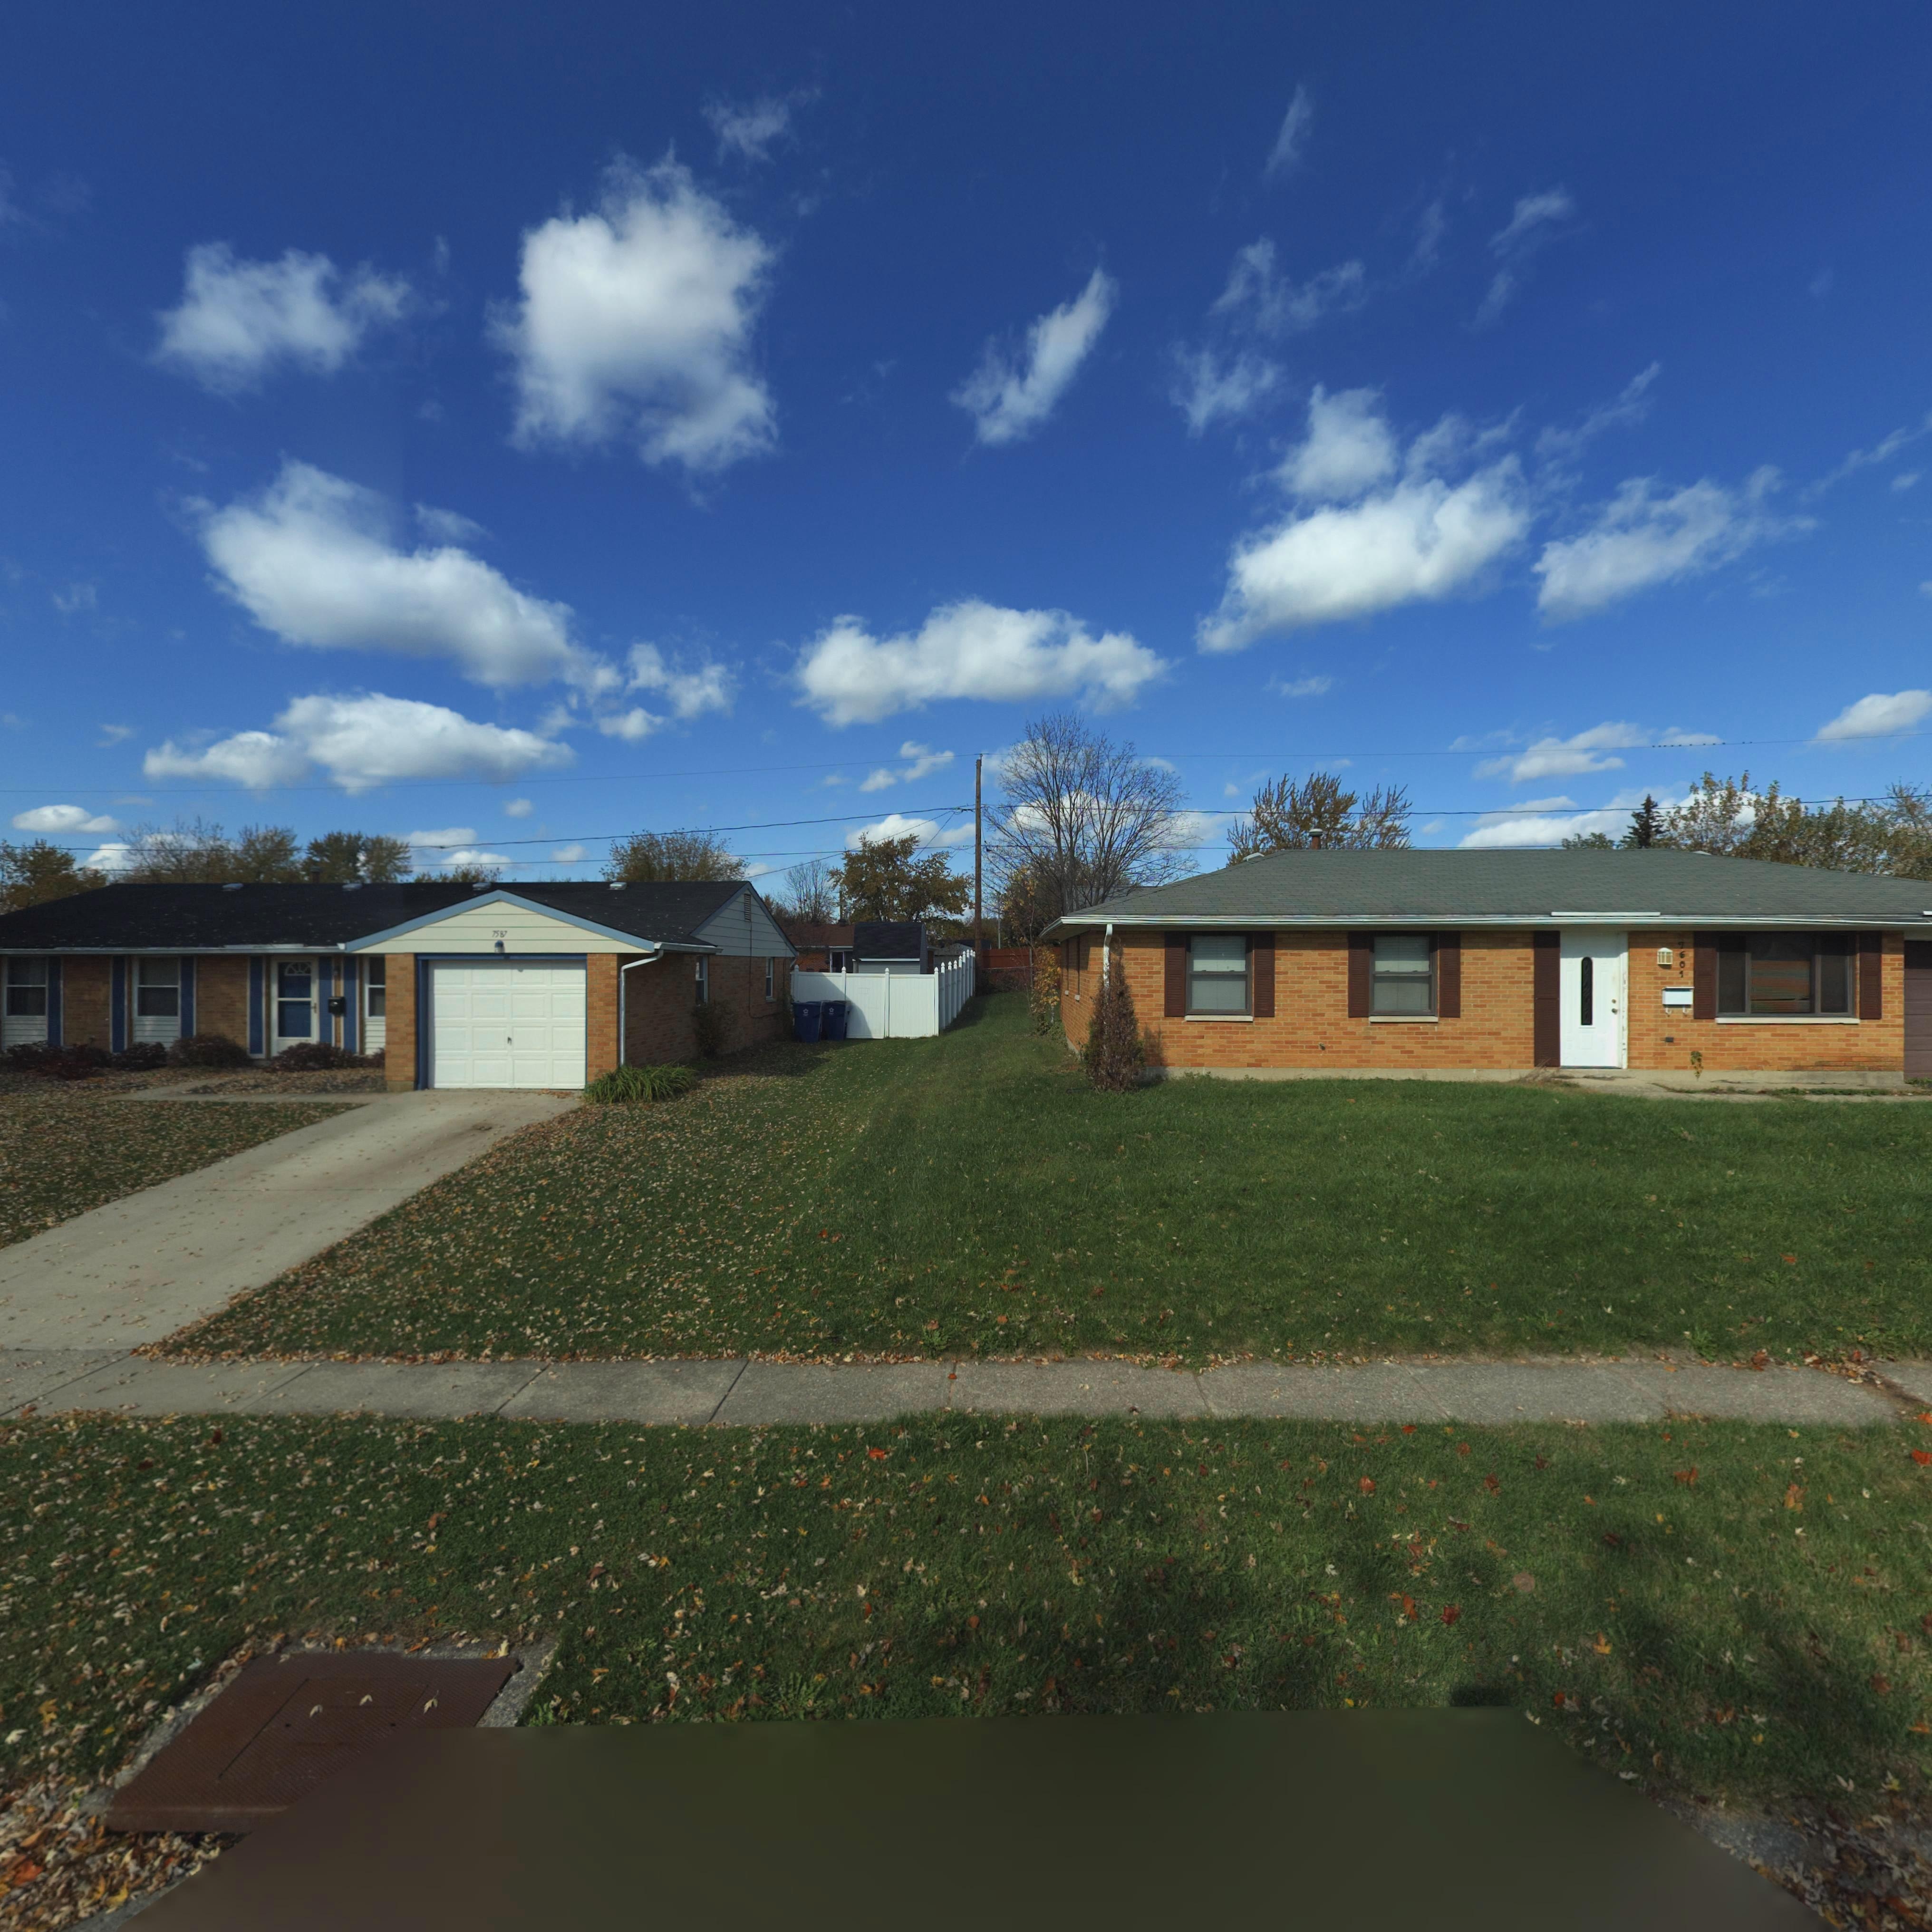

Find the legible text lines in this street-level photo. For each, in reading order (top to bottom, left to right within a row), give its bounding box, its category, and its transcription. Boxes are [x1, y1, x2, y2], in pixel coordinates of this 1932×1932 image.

[491, 930, 508, 938] StreetNumber: 7587
[1678, 941, 1686, 978] StreetNumber: 7601